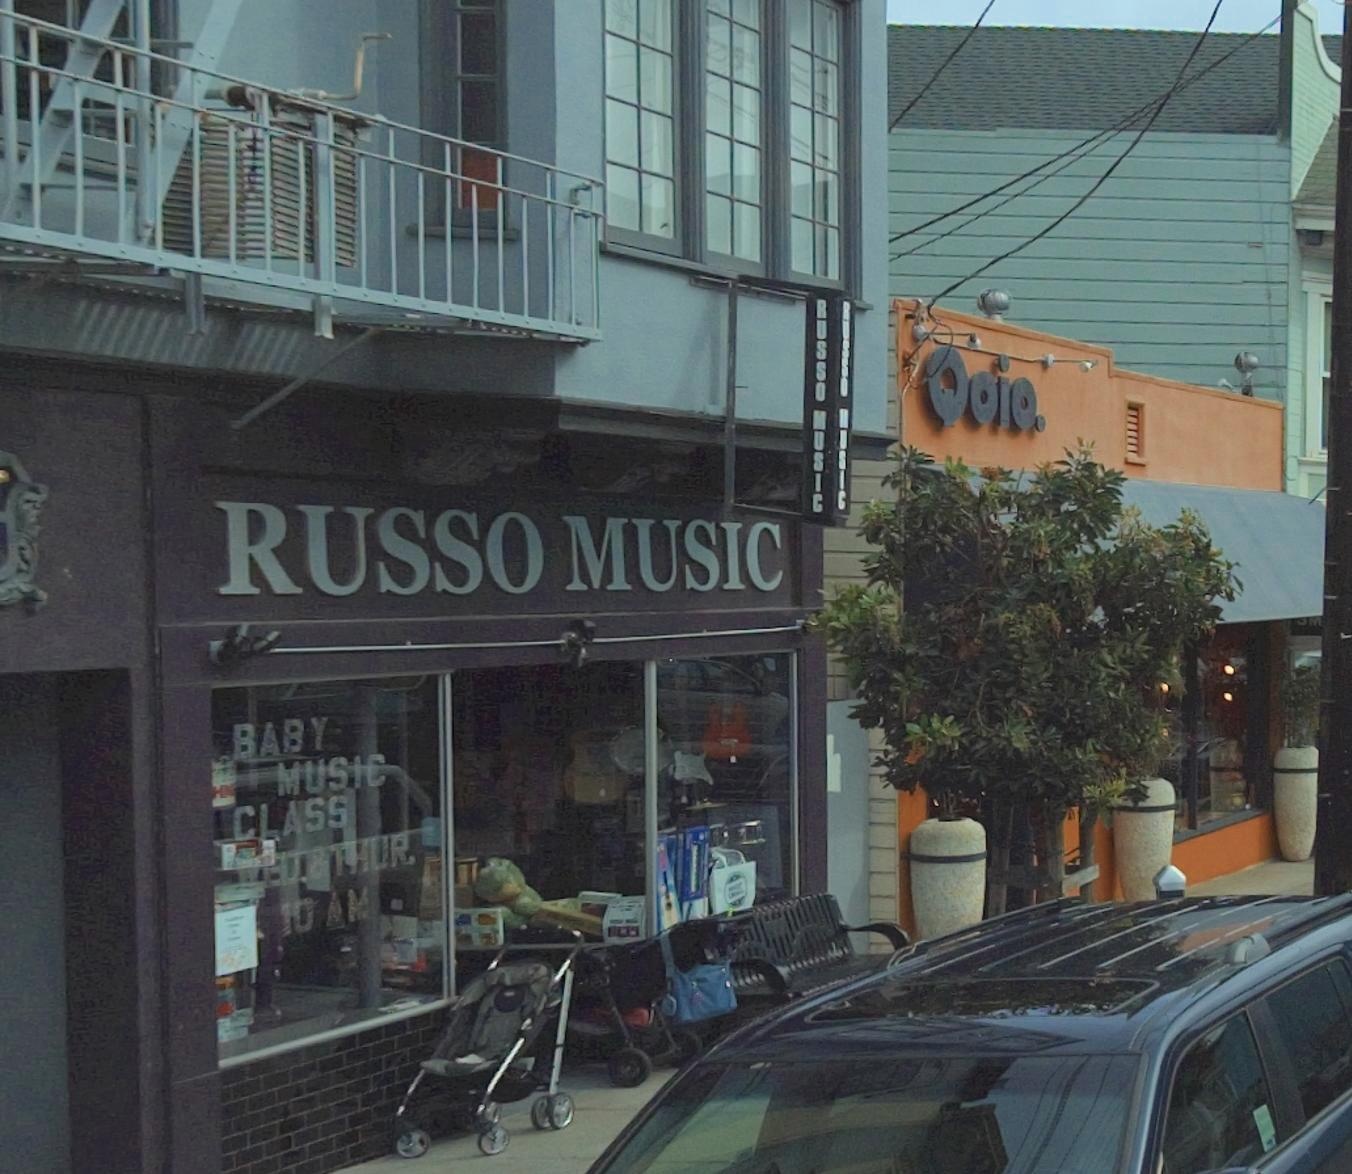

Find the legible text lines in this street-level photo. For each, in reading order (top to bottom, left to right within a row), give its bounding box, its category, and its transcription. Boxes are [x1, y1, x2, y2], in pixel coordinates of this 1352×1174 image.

[809, 297, 828, 516] BusinessName: RUSSO MUSIC
[835, 299, 854, 514] BusinessName: RUSSO MUSIC
[922, 343, 1050, 437] BusinessName: Qoio.
[212, 499, 788, 599] BusinessName: RUSSO MUSIC
[230, 713, 332, 764] None: BABY
[276, 751, 388, 799] None: MUSIC
[231, 793, 349, 845] None: CLASS
[232, 831, 420, 892] None: ***. & THUR.
[277, 881, 377, 940] None: 10 AM